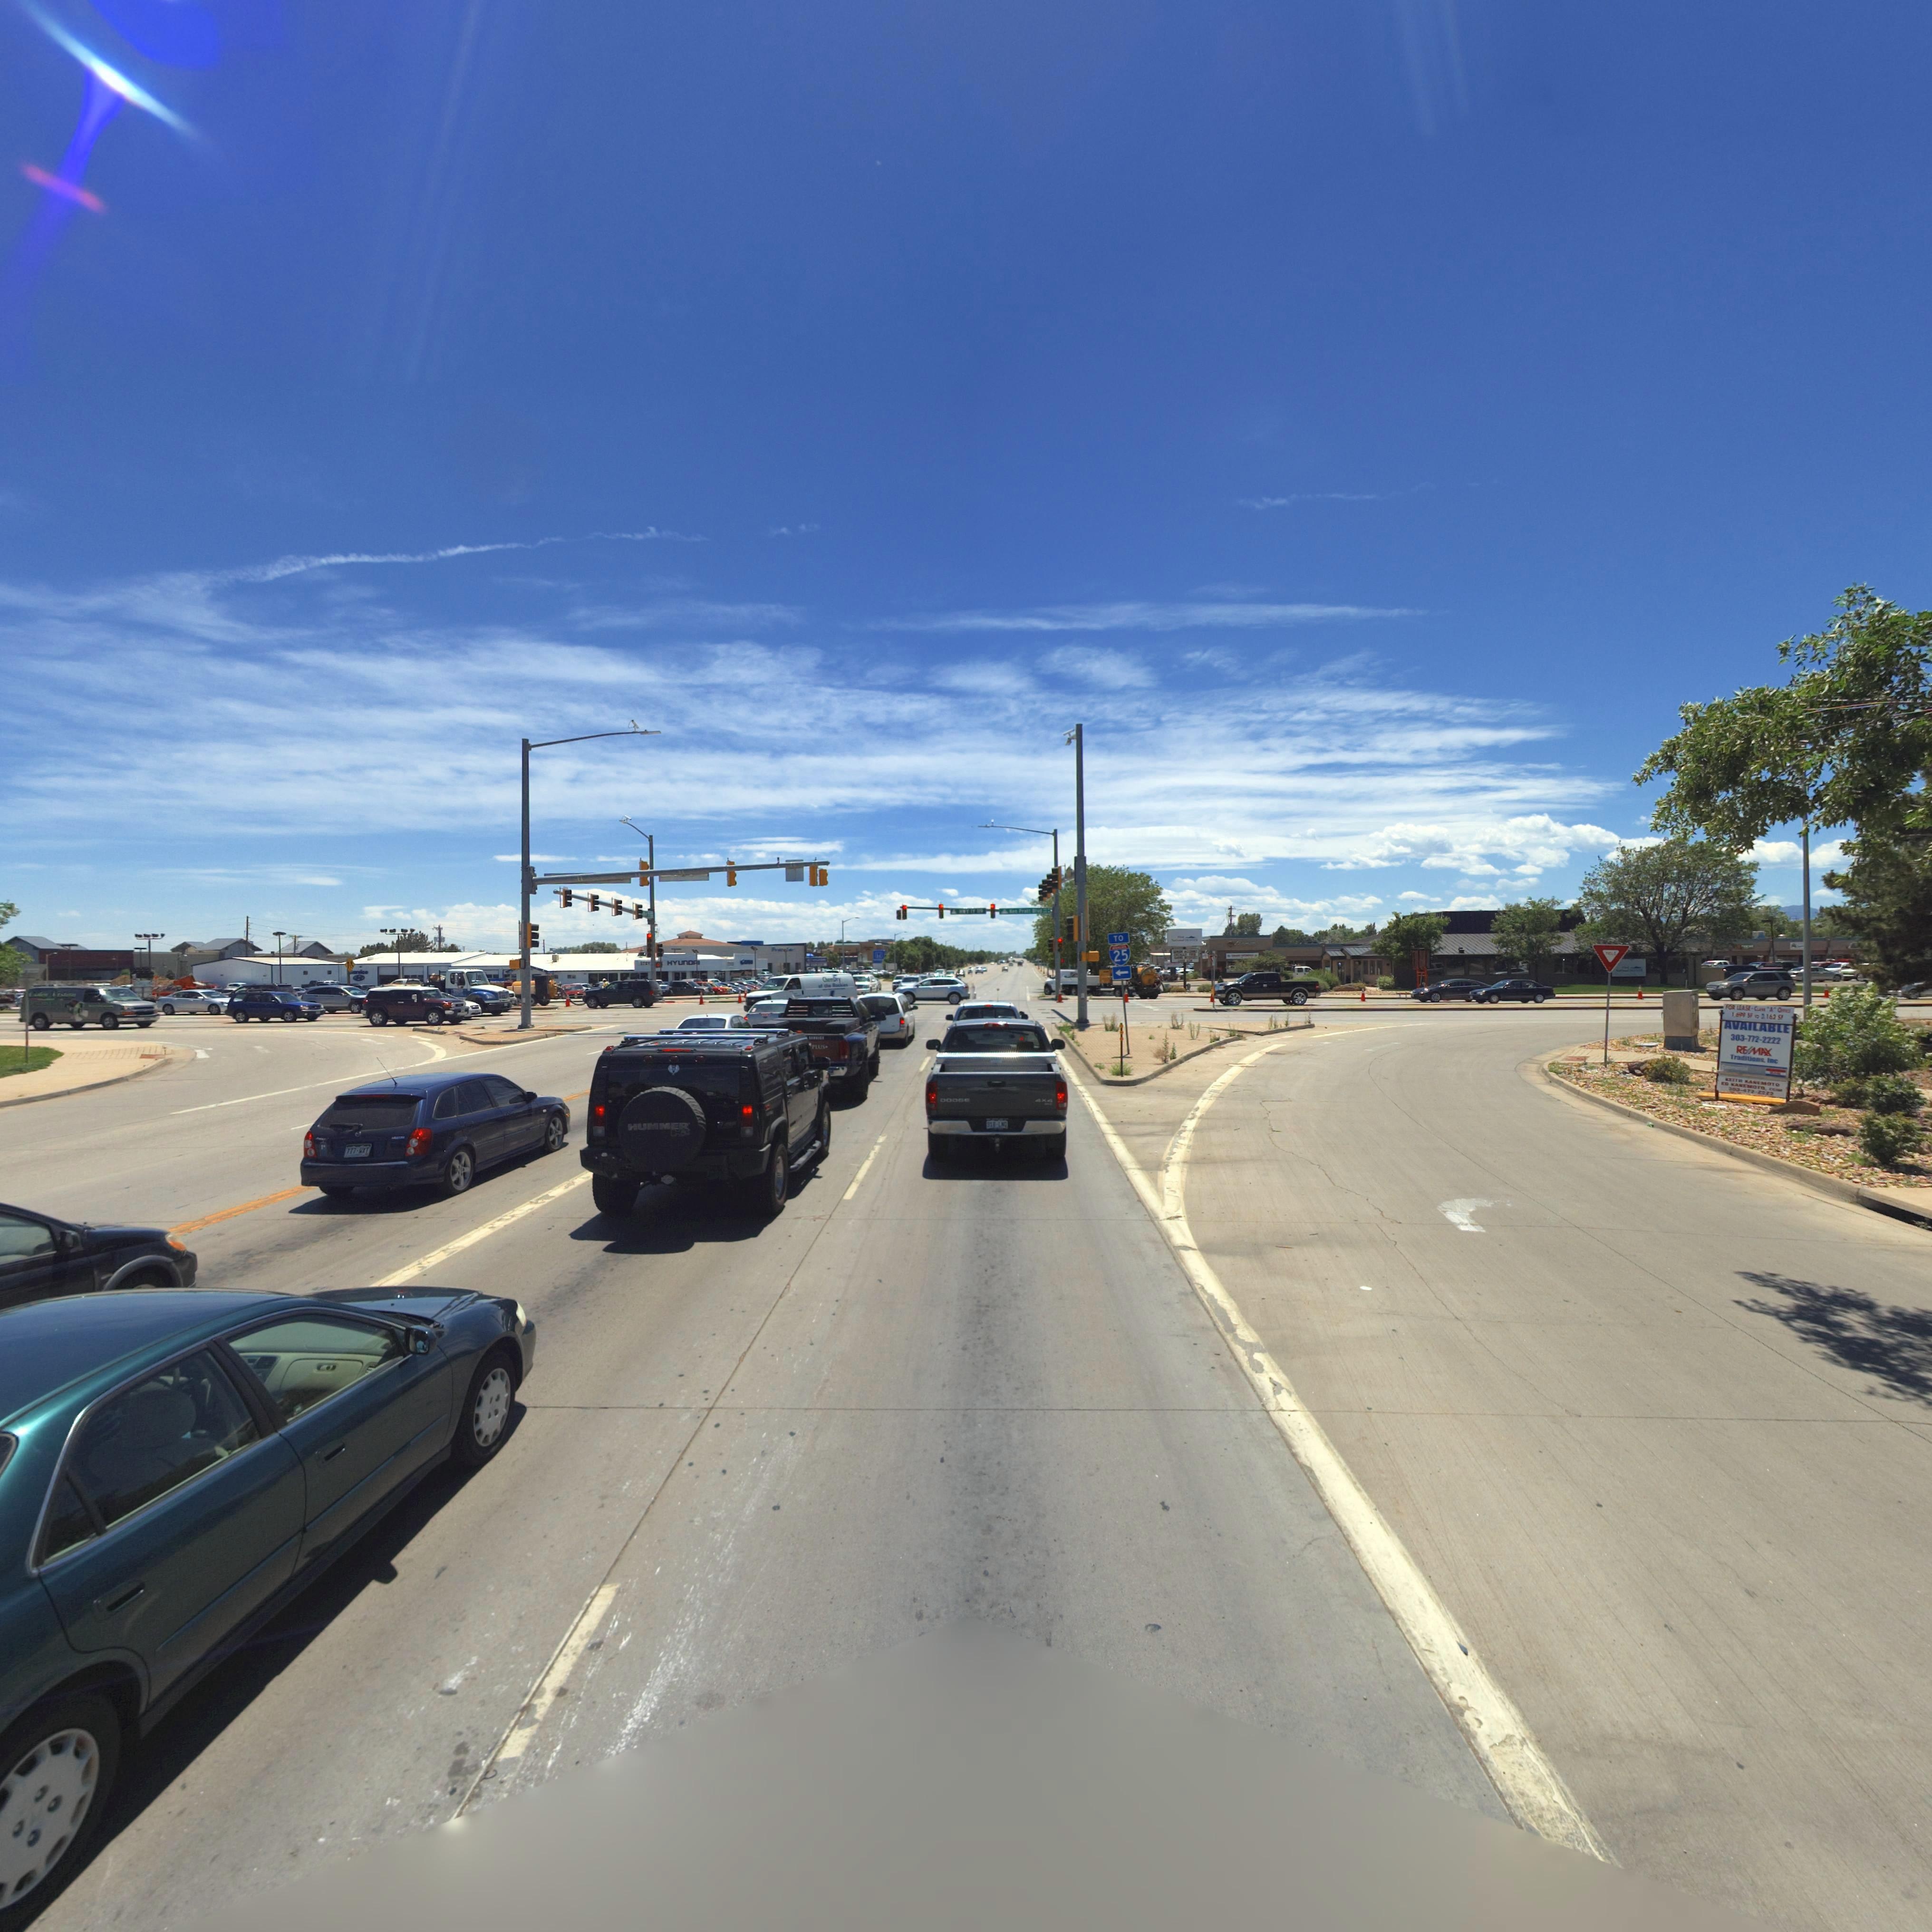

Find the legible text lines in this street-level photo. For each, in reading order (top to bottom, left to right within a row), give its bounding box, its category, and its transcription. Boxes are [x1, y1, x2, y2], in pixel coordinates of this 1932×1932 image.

[958, 908, 984, 914] StreetName: *WY ** ***
[1008, 908, 1042, 913] StreetName: Ken Pratt Blvd
[667, 960, 700, 966] BusinessName: HYUnDAI